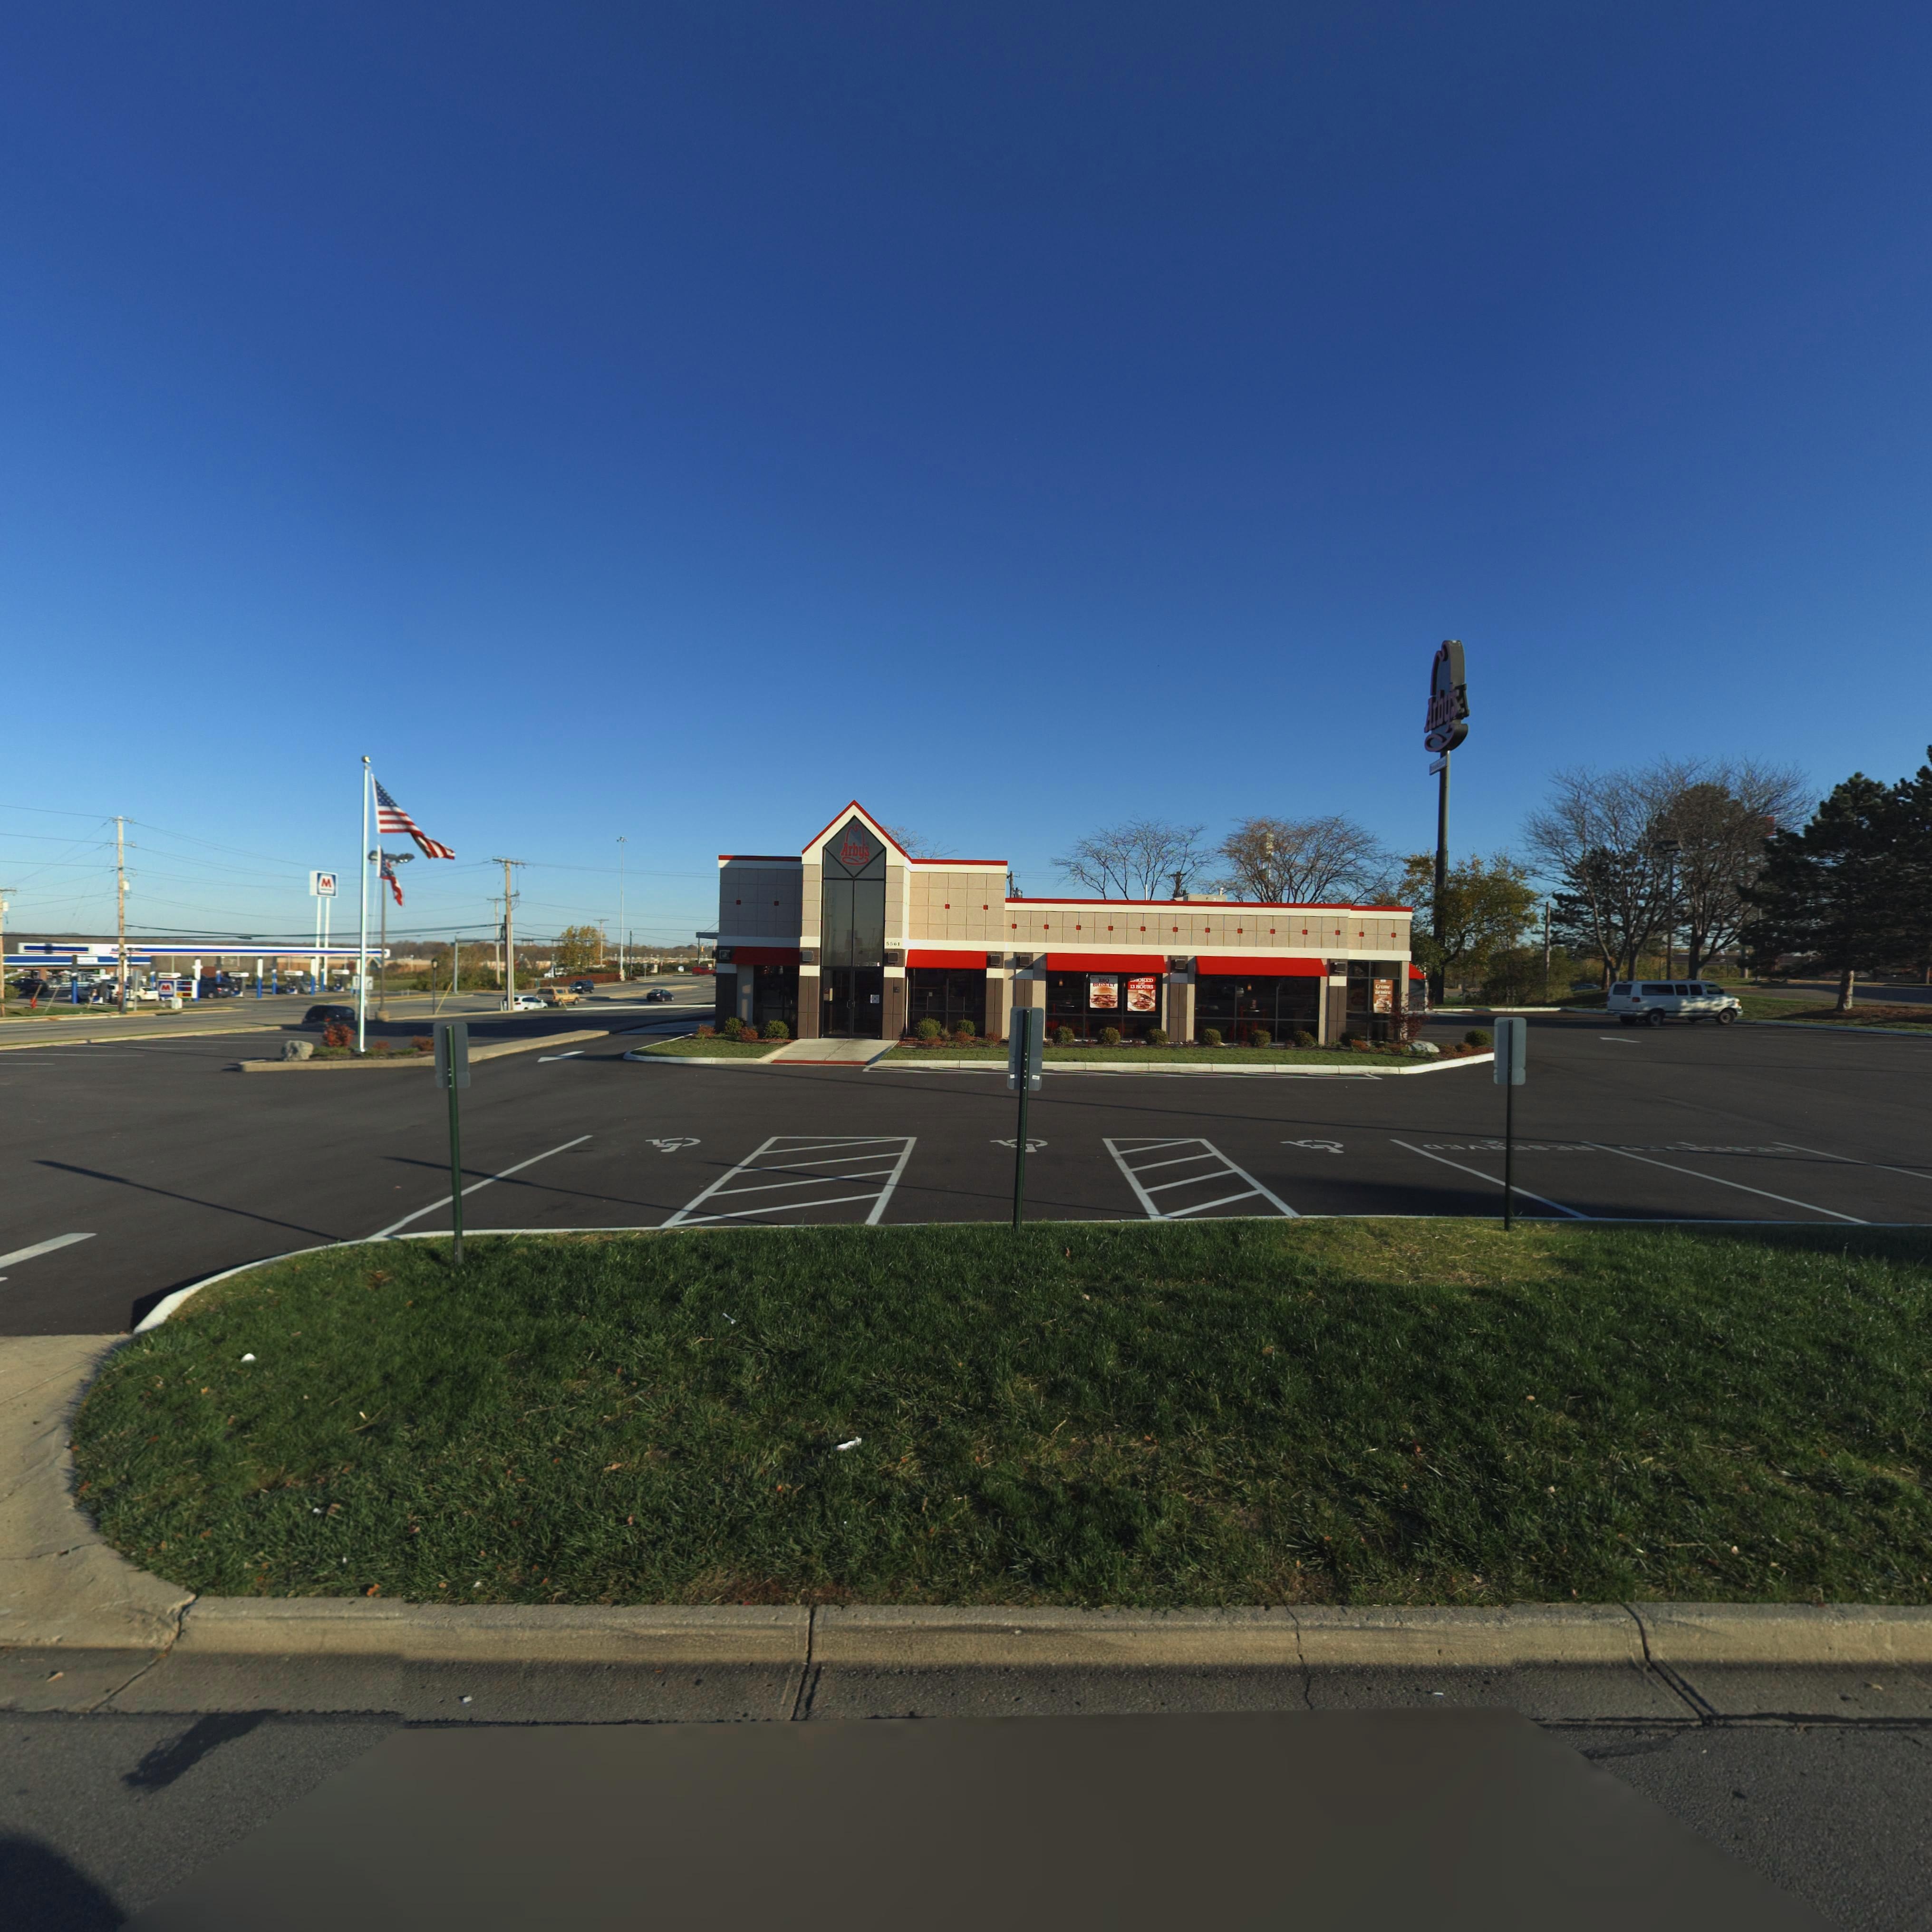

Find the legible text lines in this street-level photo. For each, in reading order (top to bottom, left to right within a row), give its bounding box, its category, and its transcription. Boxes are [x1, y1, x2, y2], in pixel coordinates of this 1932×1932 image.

[1423, 682, 1459, 734] BusinessName: Arby's
[839, 841, 870, 861] BusinessName: Arby's
[885, 940, 901, 947] StreetNumber: 5561